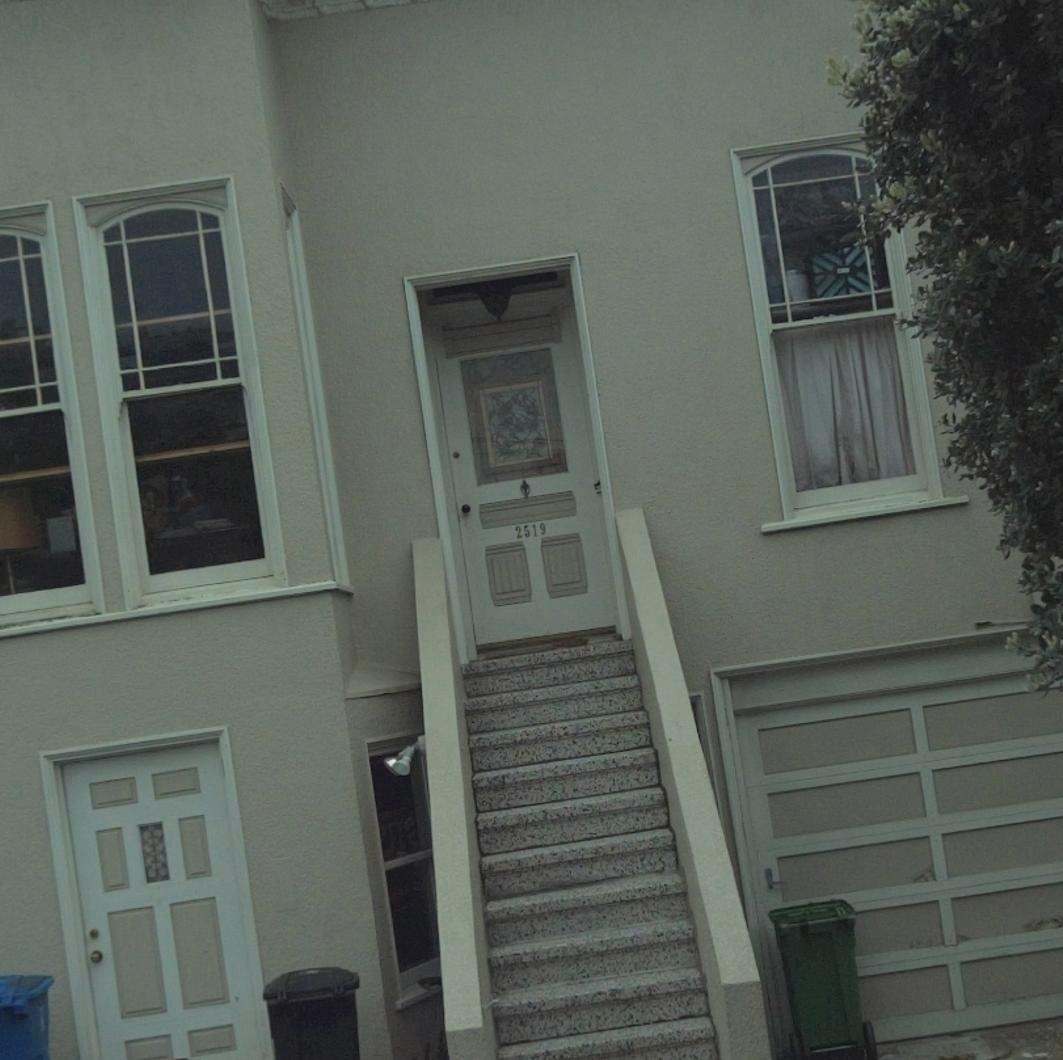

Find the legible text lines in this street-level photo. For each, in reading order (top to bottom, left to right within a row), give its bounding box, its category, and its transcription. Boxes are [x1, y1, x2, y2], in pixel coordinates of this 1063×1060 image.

[513, 521, 549, 541] StreetNumber: 2519